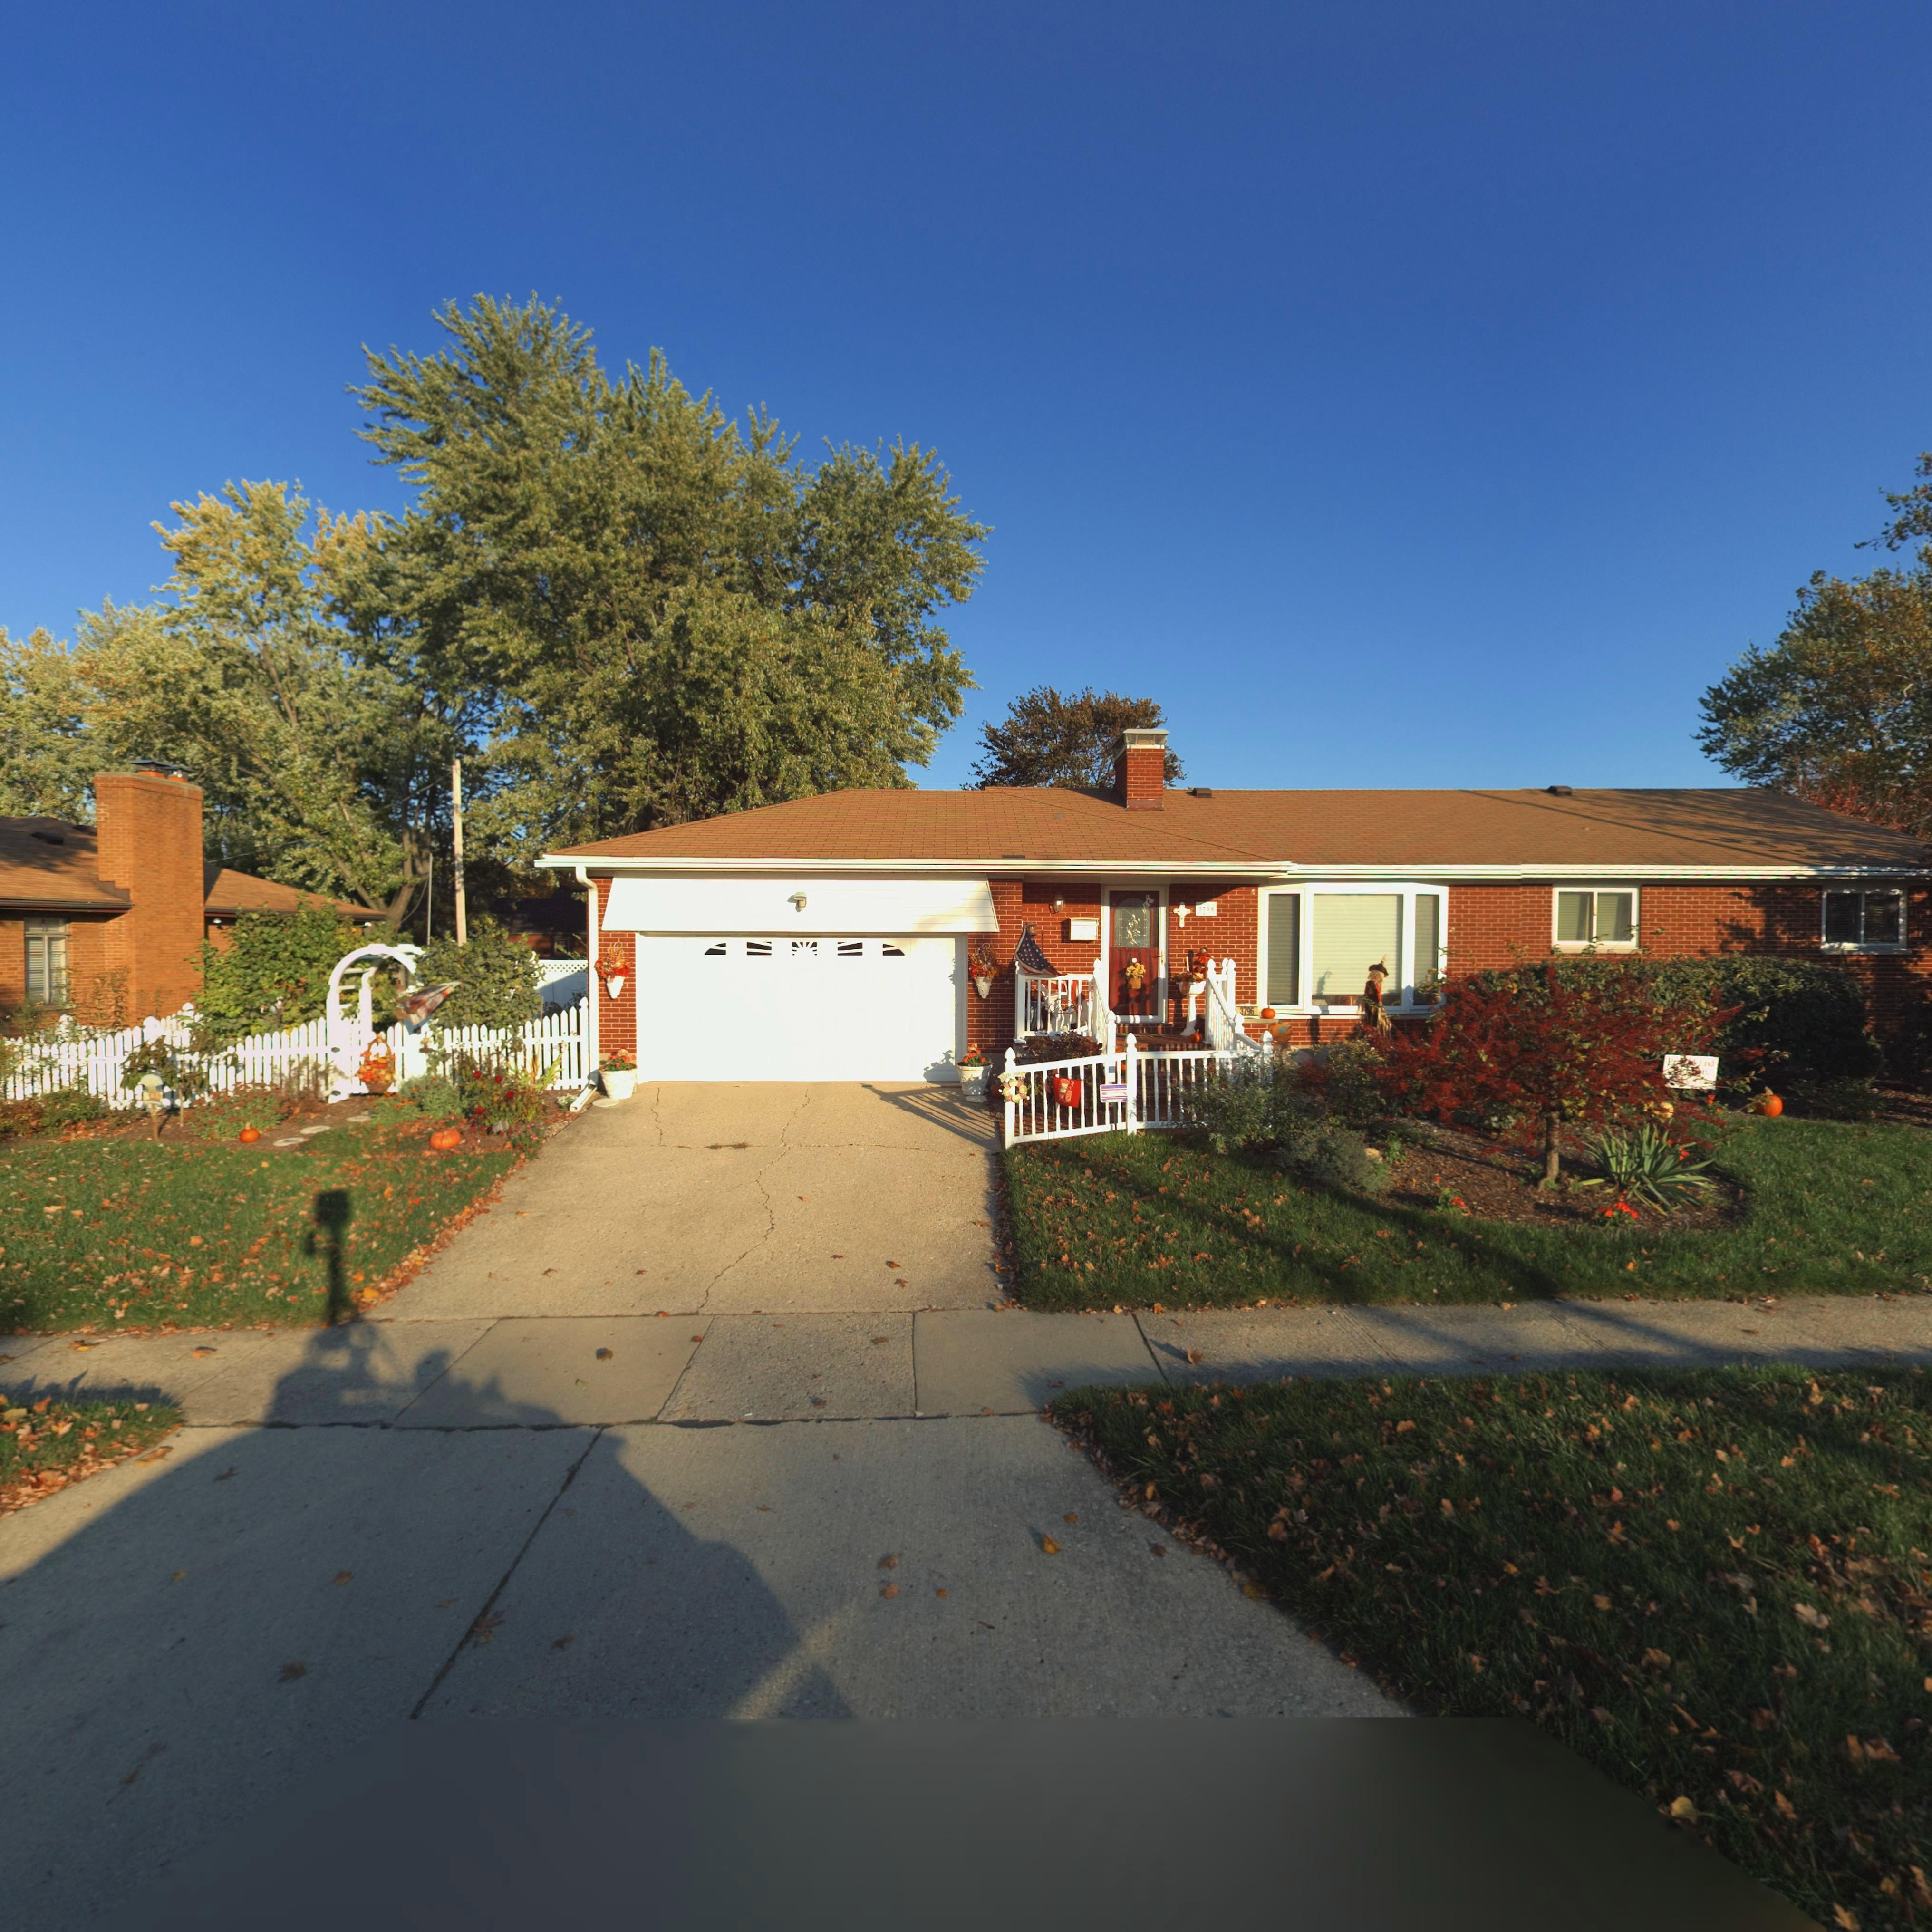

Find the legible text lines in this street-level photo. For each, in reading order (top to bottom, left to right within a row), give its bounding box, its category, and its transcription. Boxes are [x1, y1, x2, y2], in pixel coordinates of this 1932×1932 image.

[1198, 905, 1215, 911] StreetNumber: 3796